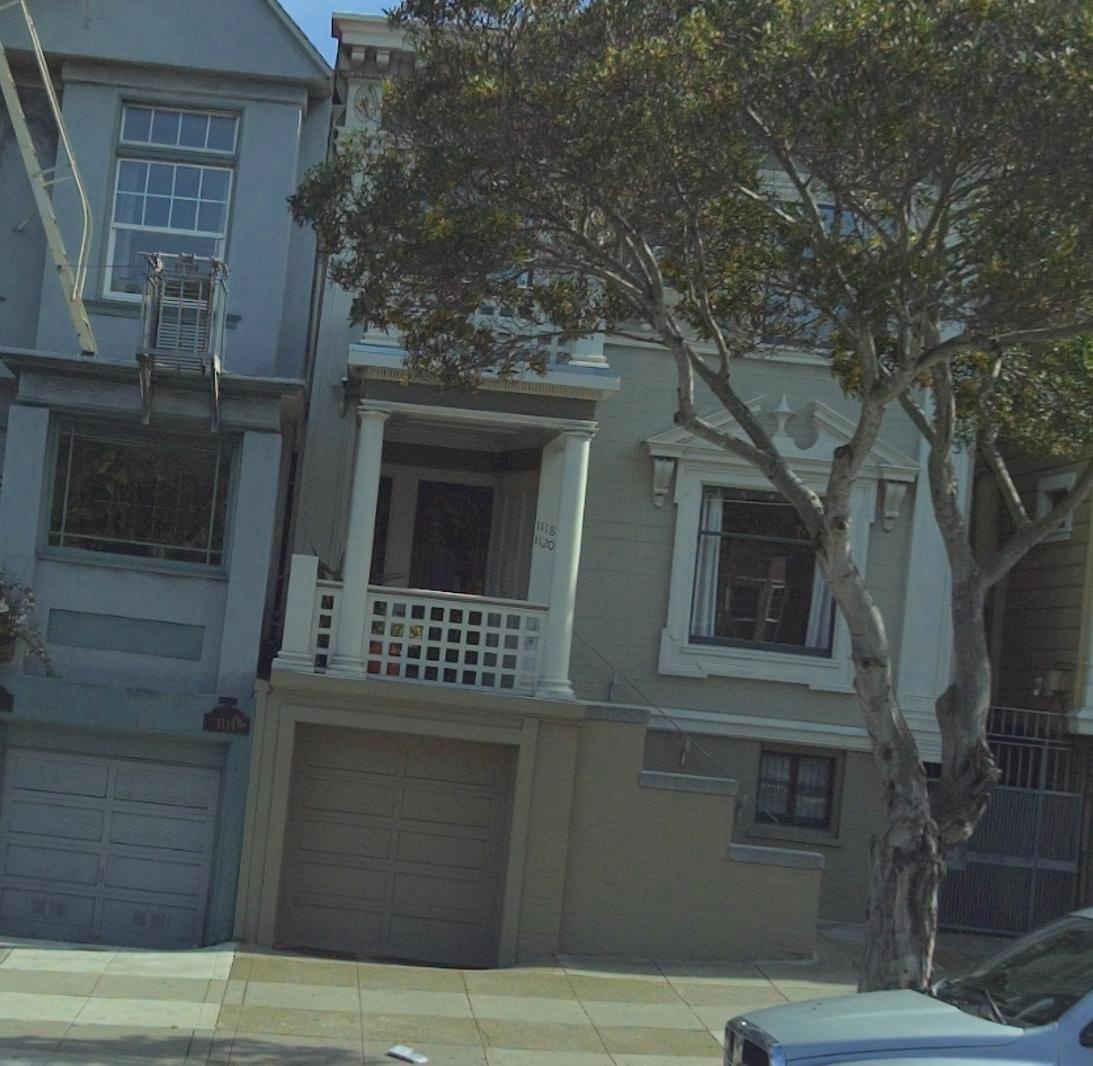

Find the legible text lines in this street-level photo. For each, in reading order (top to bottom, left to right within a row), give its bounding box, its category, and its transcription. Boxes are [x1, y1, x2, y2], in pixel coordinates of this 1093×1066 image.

[535, 519, 557, 538] StreetNumber: 1118
[533, 531, 557, 553] StreetNumber: 1120
[215, 714, 238, 733] StreetNumber: 111*